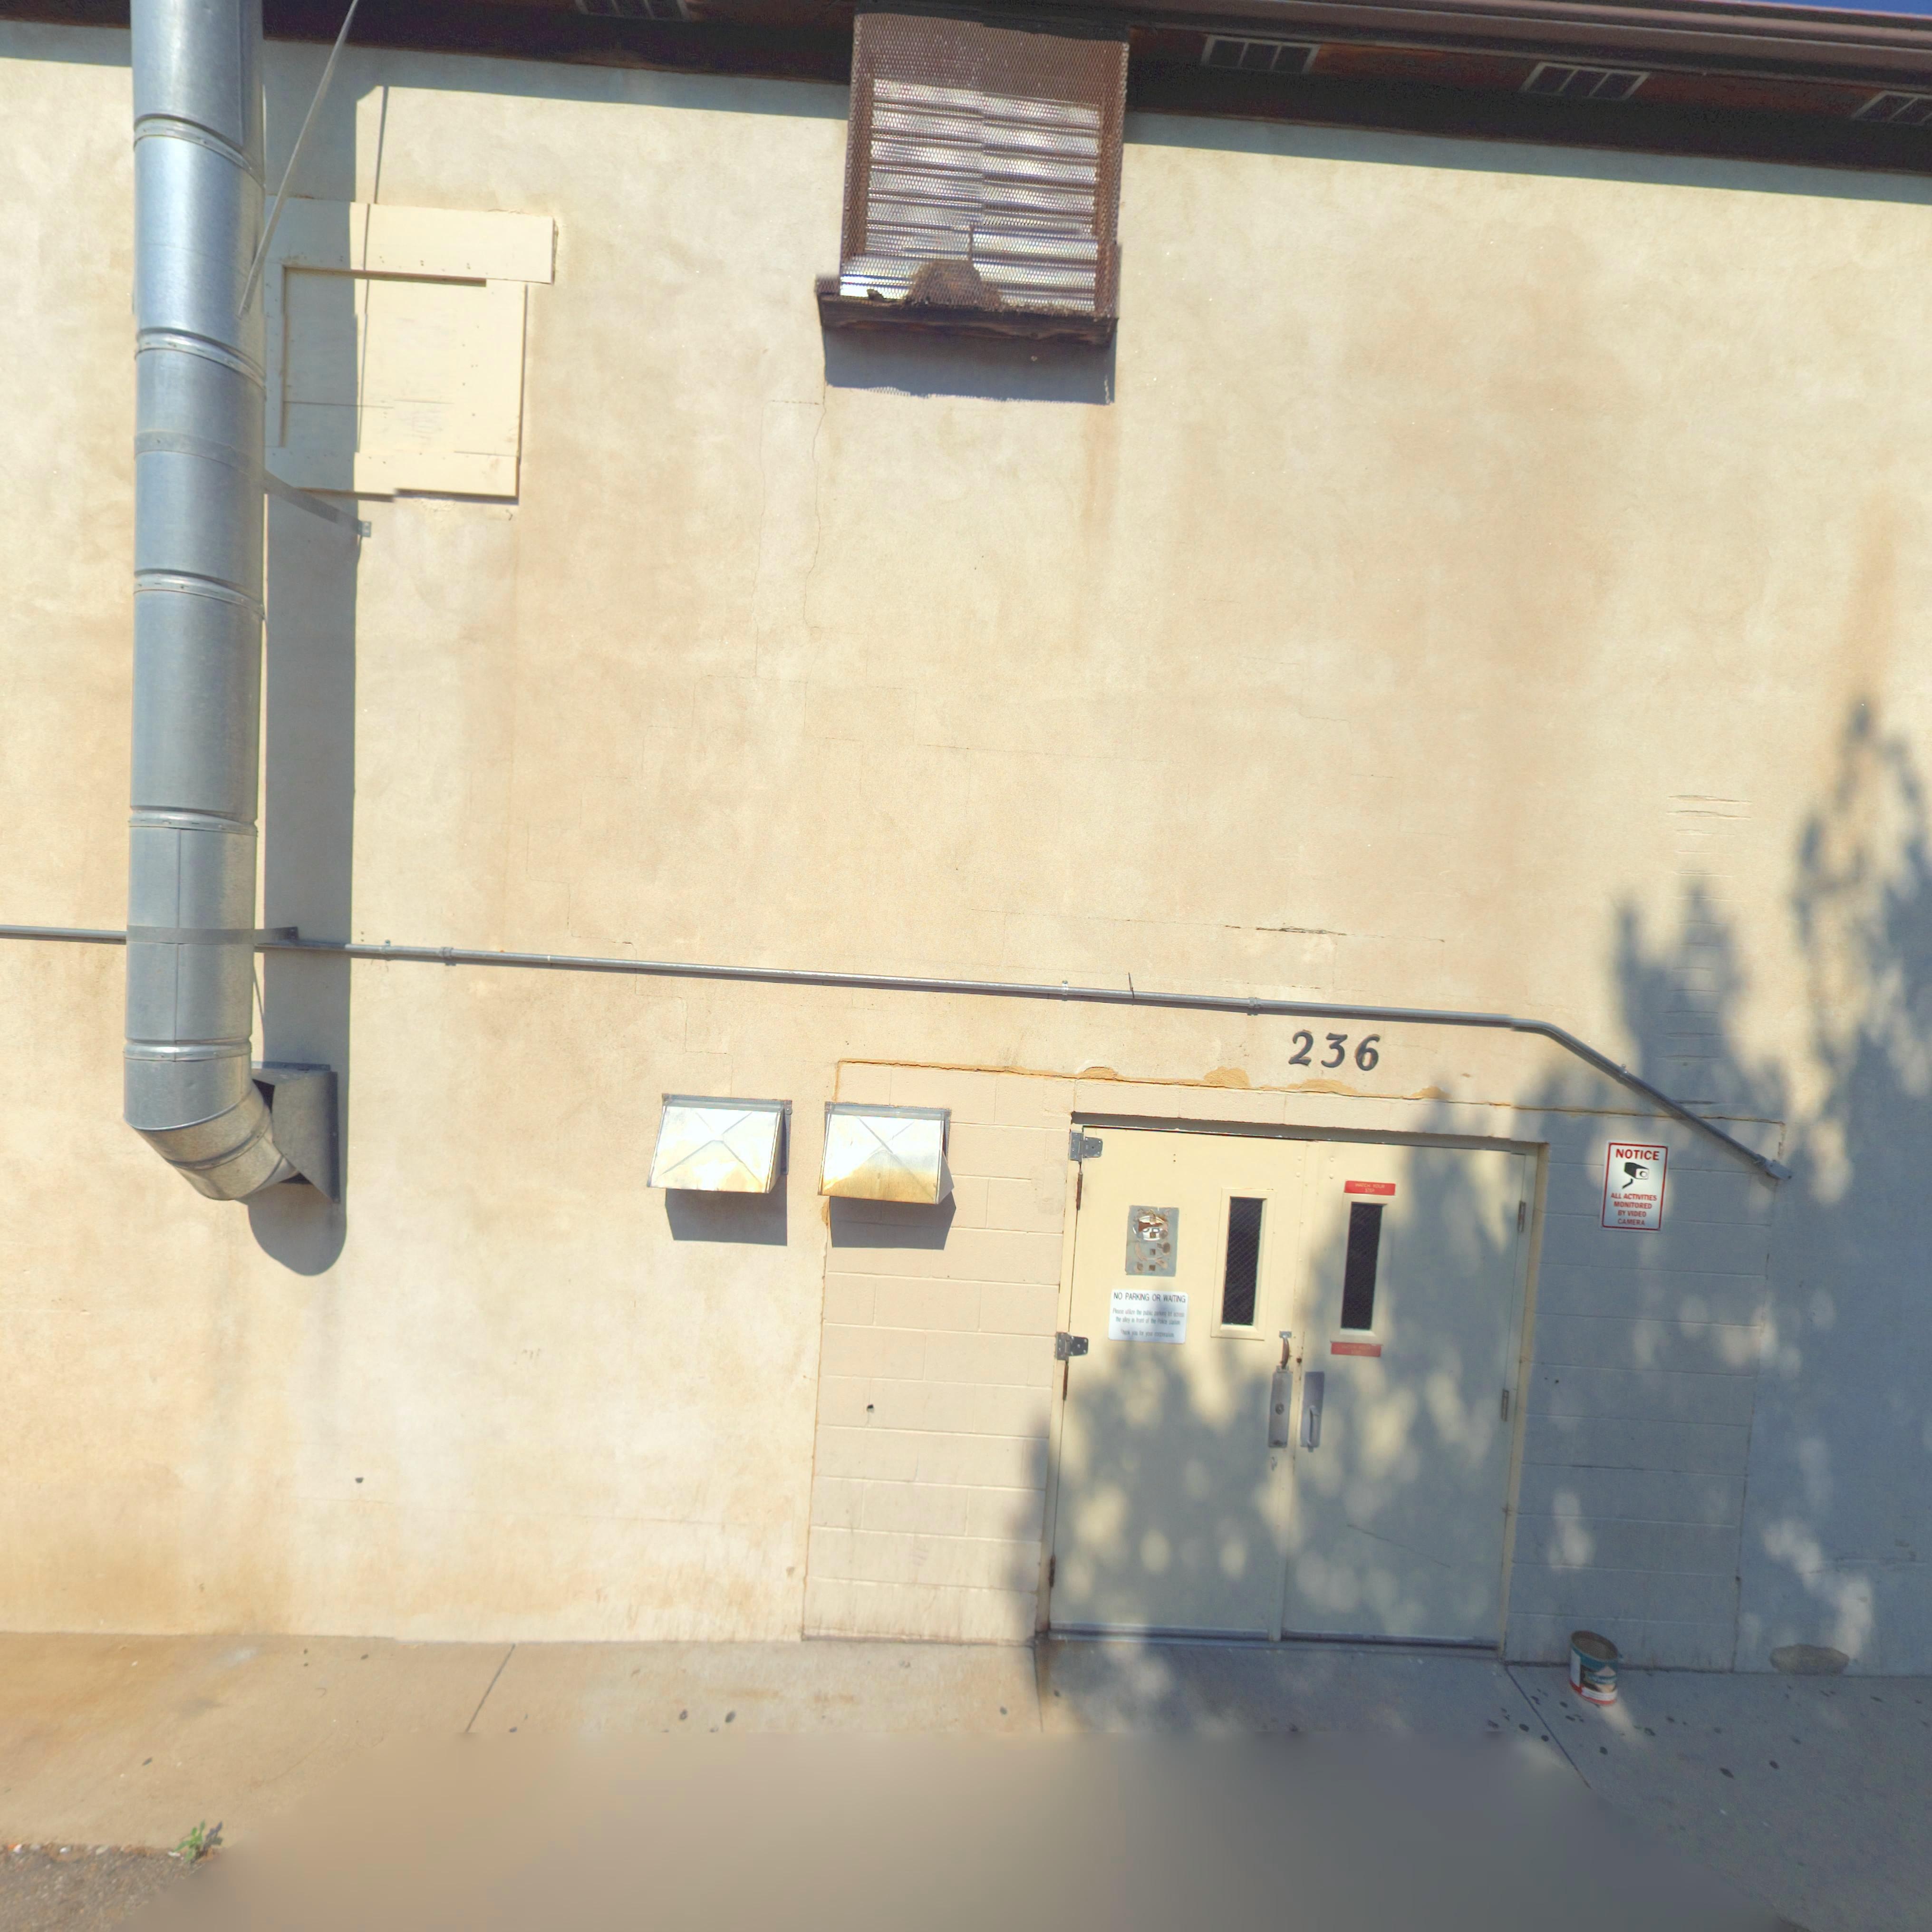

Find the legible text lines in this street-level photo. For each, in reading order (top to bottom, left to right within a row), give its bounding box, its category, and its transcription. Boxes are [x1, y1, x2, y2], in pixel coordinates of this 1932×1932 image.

[1285, 1027, 1384, 1073] StreetNumber: 236